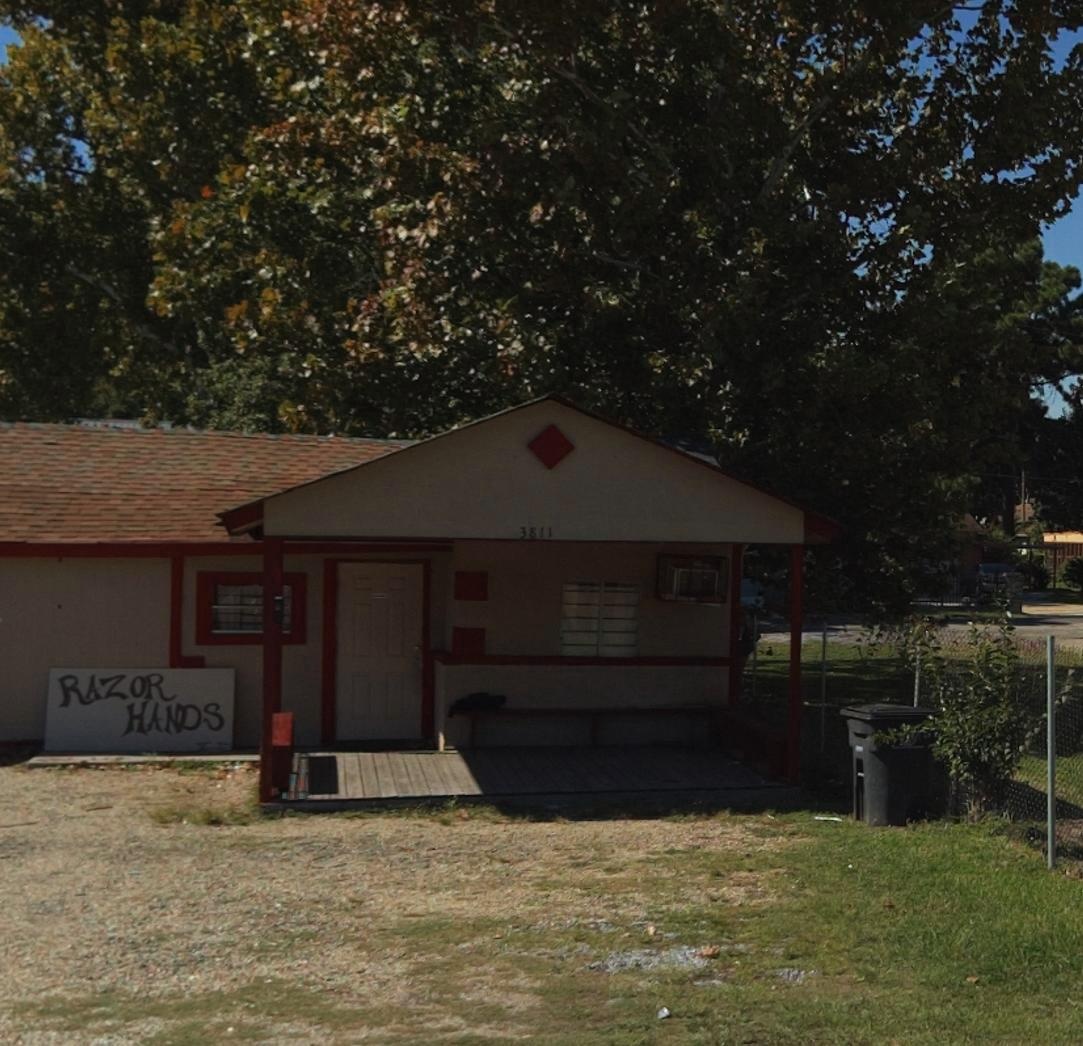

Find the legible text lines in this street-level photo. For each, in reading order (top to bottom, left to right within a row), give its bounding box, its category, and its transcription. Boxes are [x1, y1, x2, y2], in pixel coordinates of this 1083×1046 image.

[517, 525, 554, 539] StreetNumber: 3811
[56, 670, 179, 710] BusinessName: RAZOR
[119, 700, 228, 737] BusinessName: HA**S